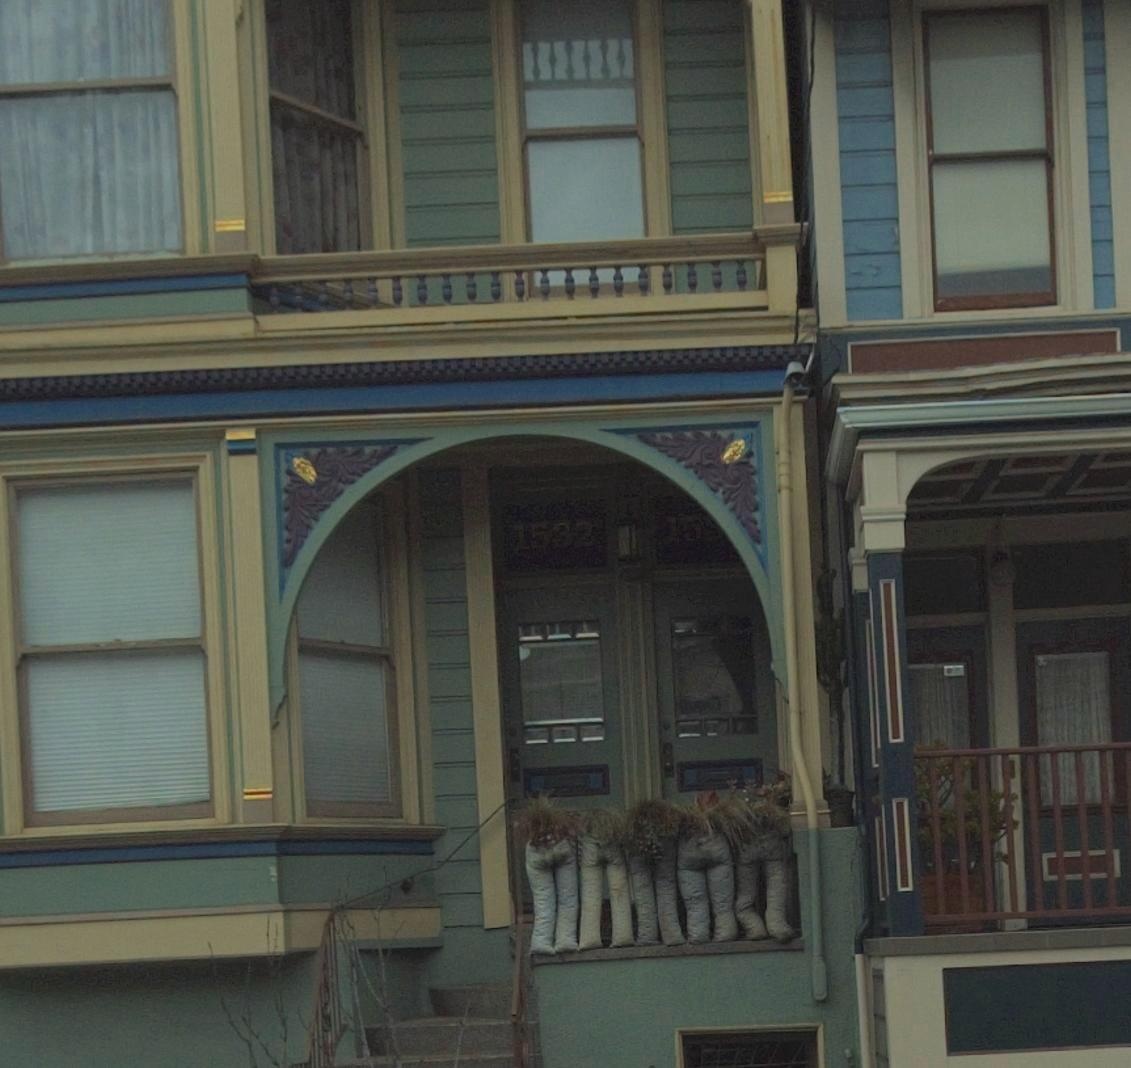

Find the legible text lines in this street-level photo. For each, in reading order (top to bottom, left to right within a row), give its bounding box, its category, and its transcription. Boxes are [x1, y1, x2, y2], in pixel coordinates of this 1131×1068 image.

[512, 519, 596, 551] StreetNumber: 1532
[665, 513, 726, 544] StreetNumber: 15*